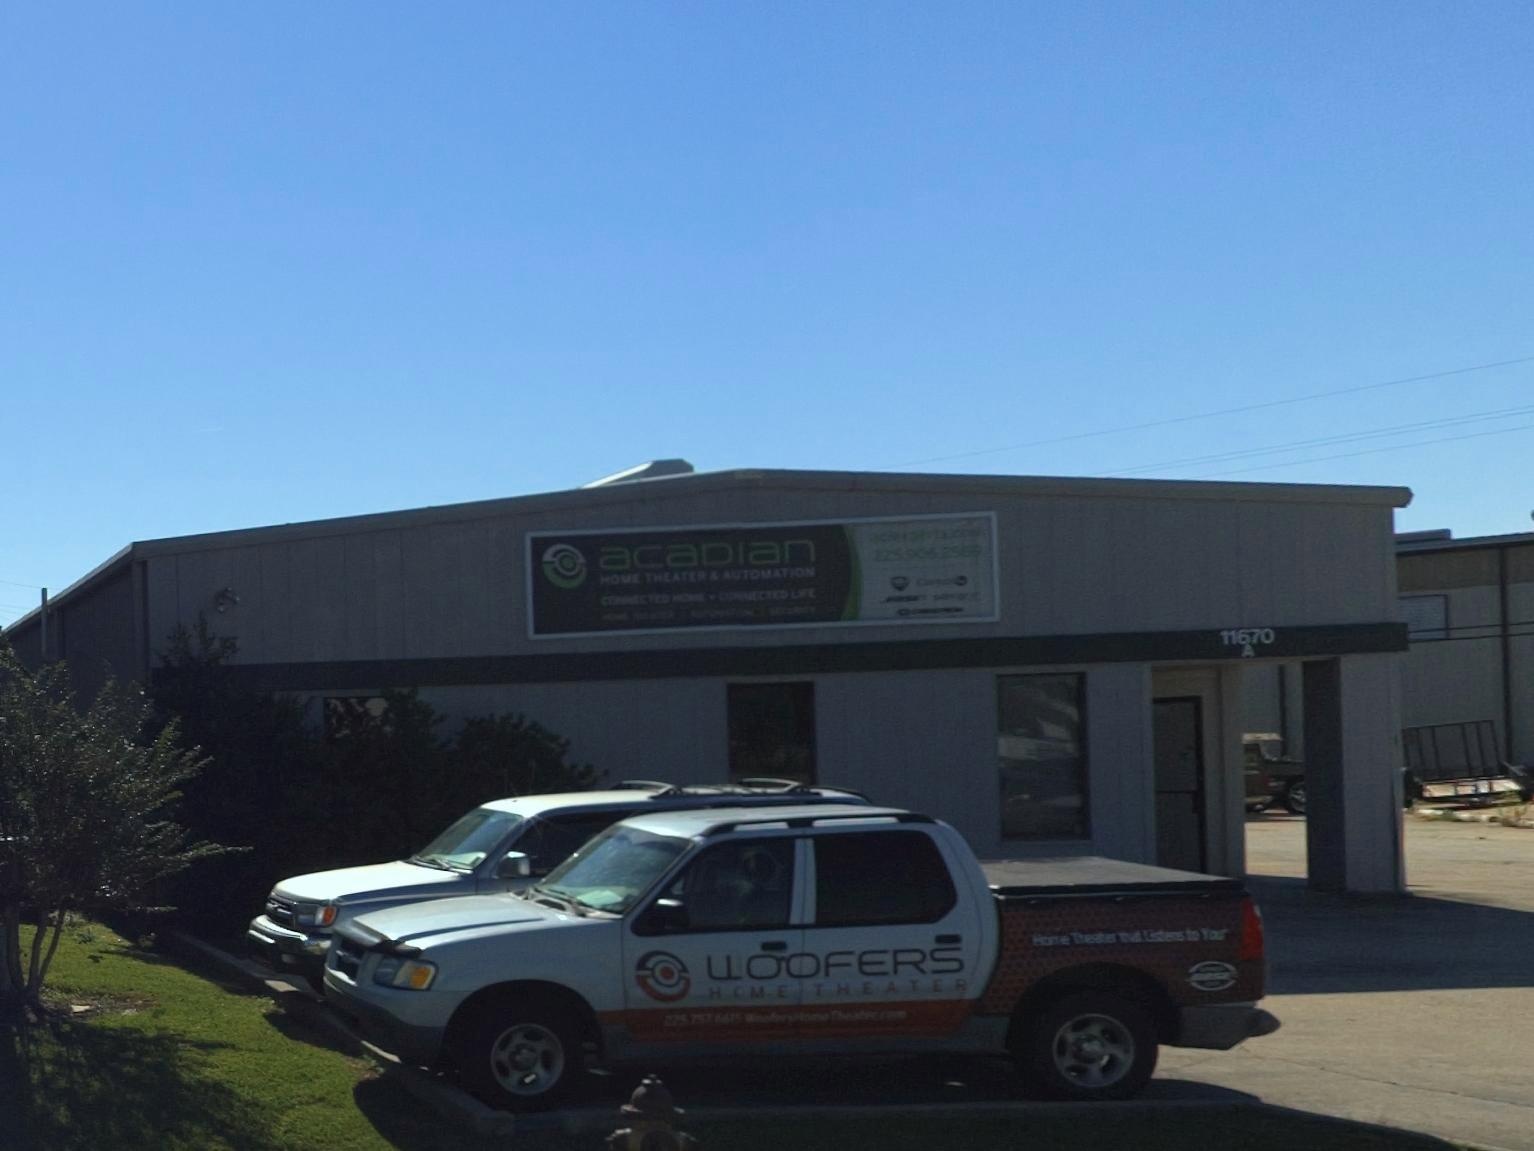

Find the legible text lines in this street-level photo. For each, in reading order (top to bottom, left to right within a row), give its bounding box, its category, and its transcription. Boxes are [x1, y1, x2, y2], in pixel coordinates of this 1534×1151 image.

[595, 537, 818, 573] BusinessName: acaDian
[597, 564, 818, 589] BusinessName: HOME THEATER & AUTOMATION
[1216, 625, 1278, 648] StreetNumber: 11670
[1238, 640, 1259, 660] StreetNumber: A
[1026, 927, 1121, 951] None: Home Theater
[742, 943, 968, 982] None: OOFERS
[704, 974, 971, 1004] None: H*ME THEATER